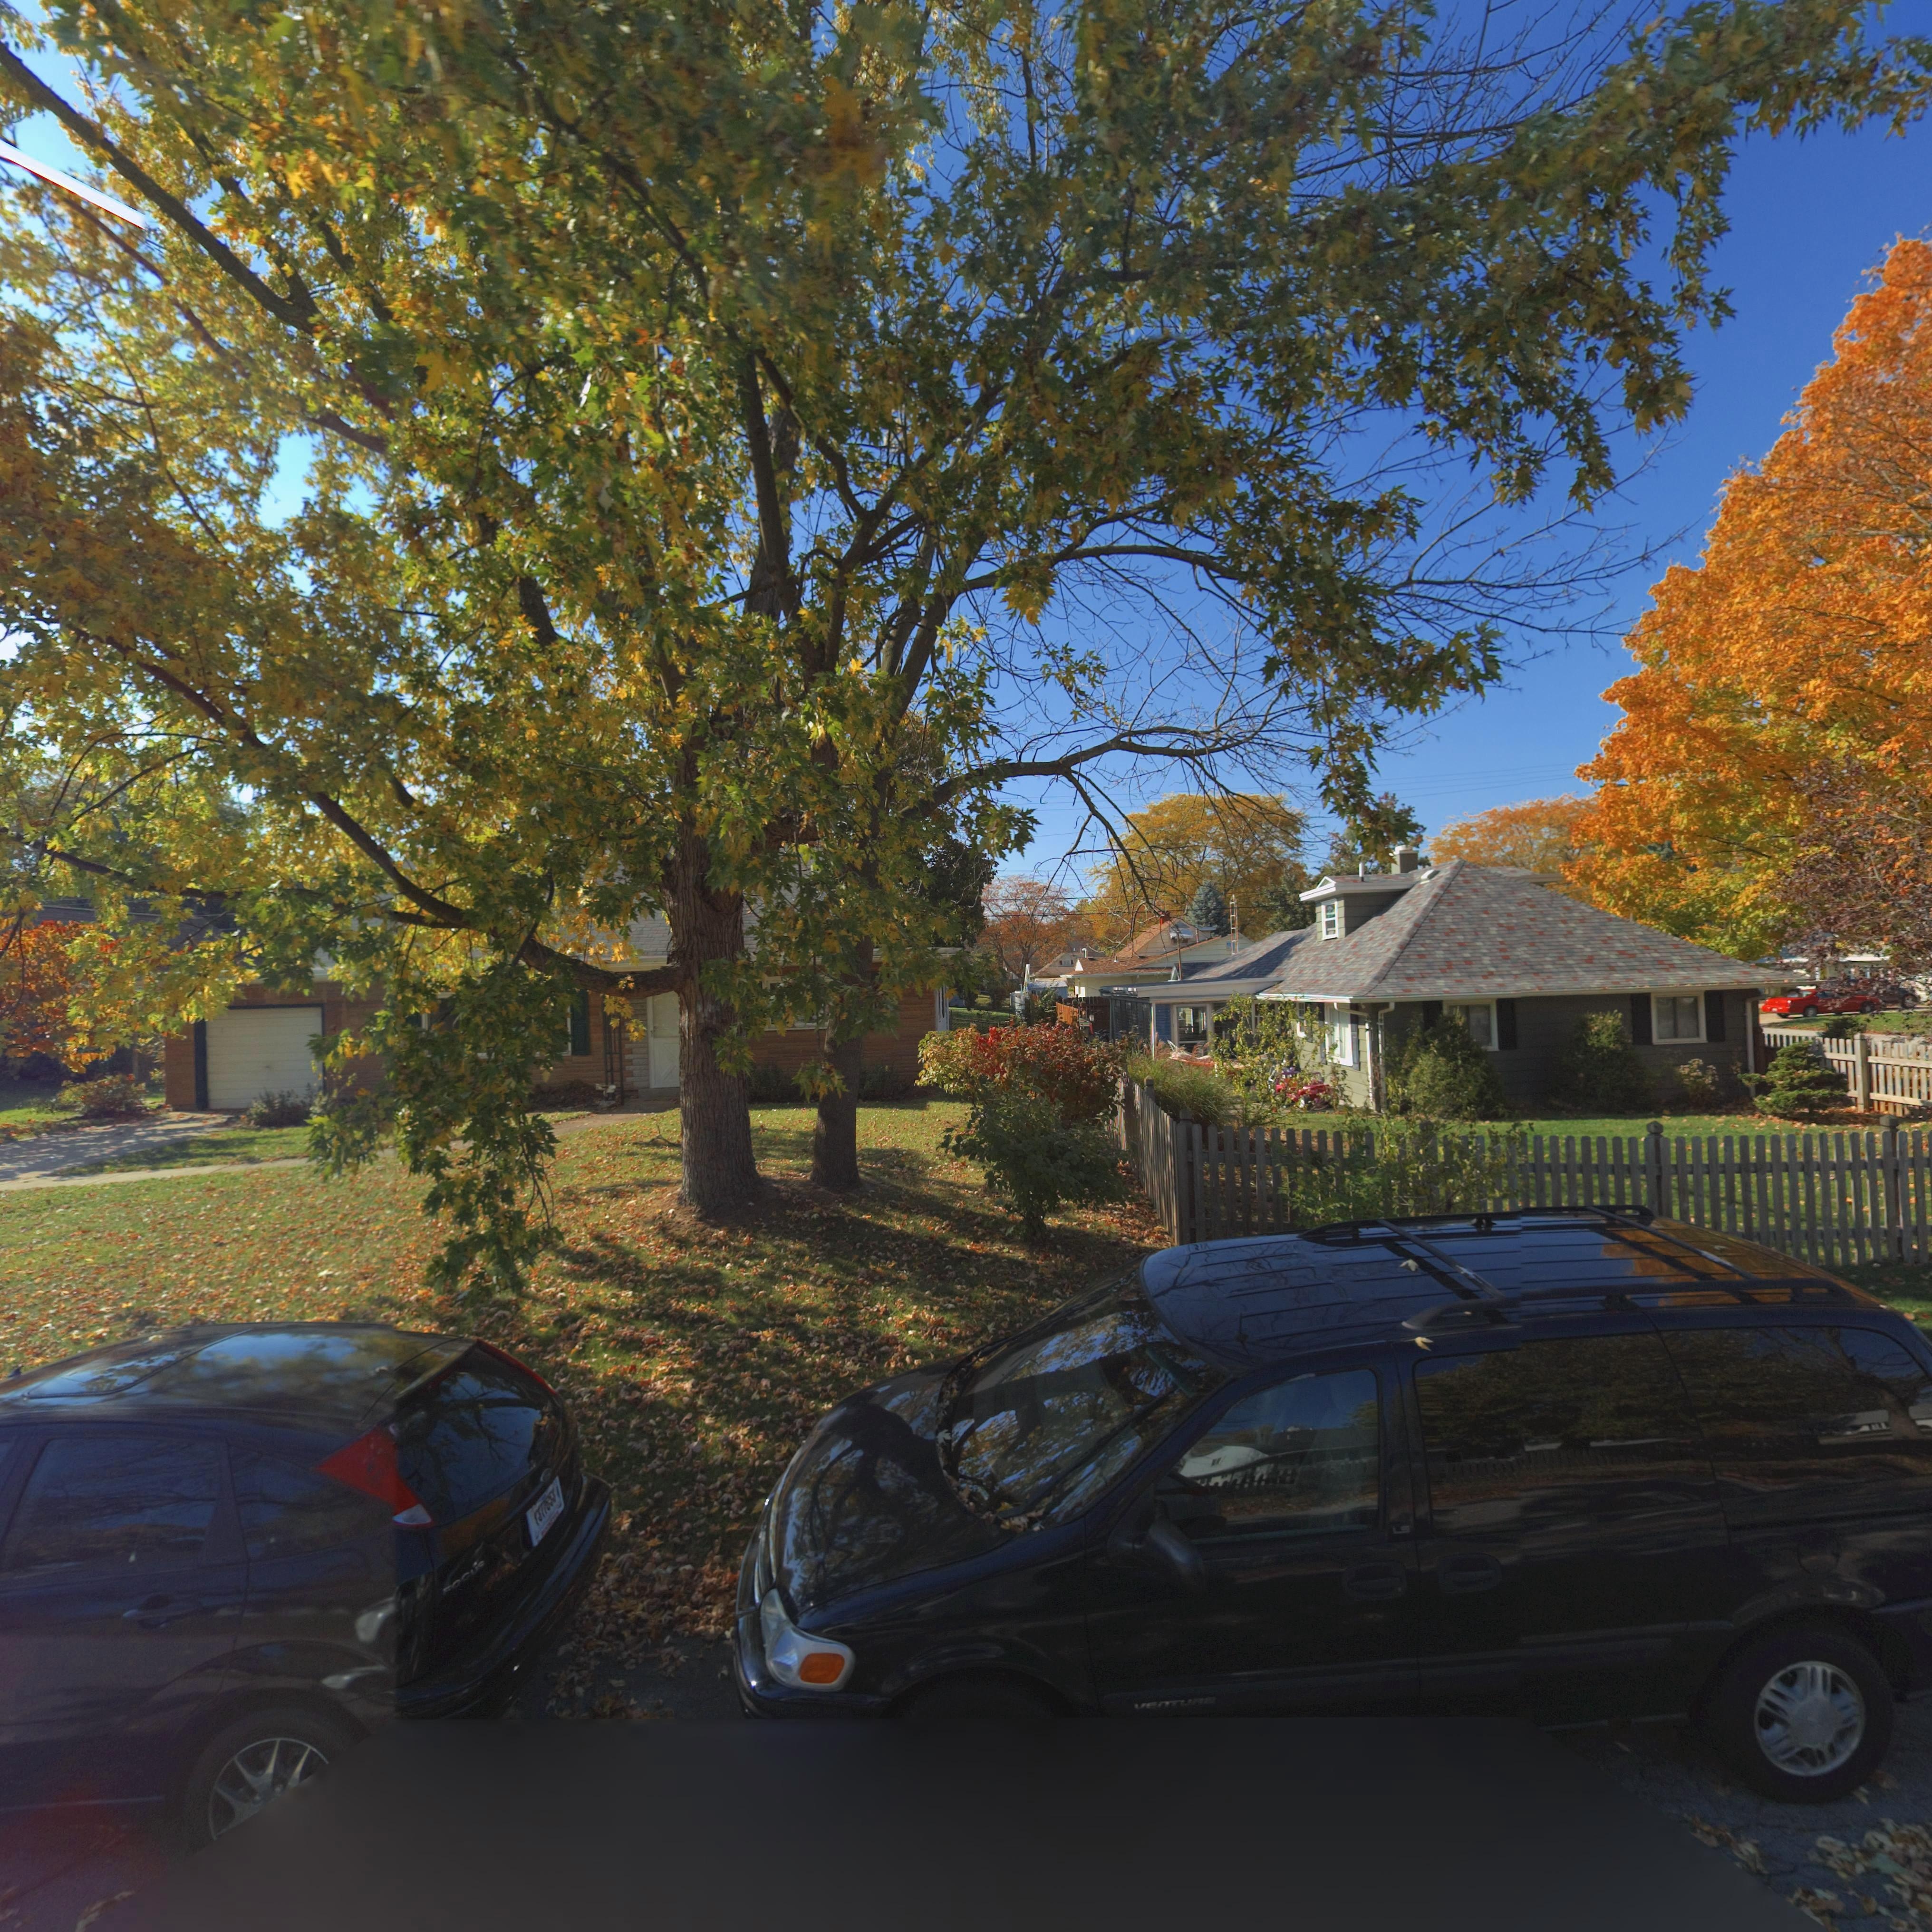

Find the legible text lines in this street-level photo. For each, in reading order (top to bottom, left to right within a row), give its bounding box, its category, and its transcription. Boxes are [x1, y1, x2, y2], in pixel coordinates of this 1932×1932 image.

[532, 1486, 559, 1526] None: *377*53
[442, 1558, 487, 1598] None: FOCUS
[1132, 1696, 1218, 1713] None: VENTURE